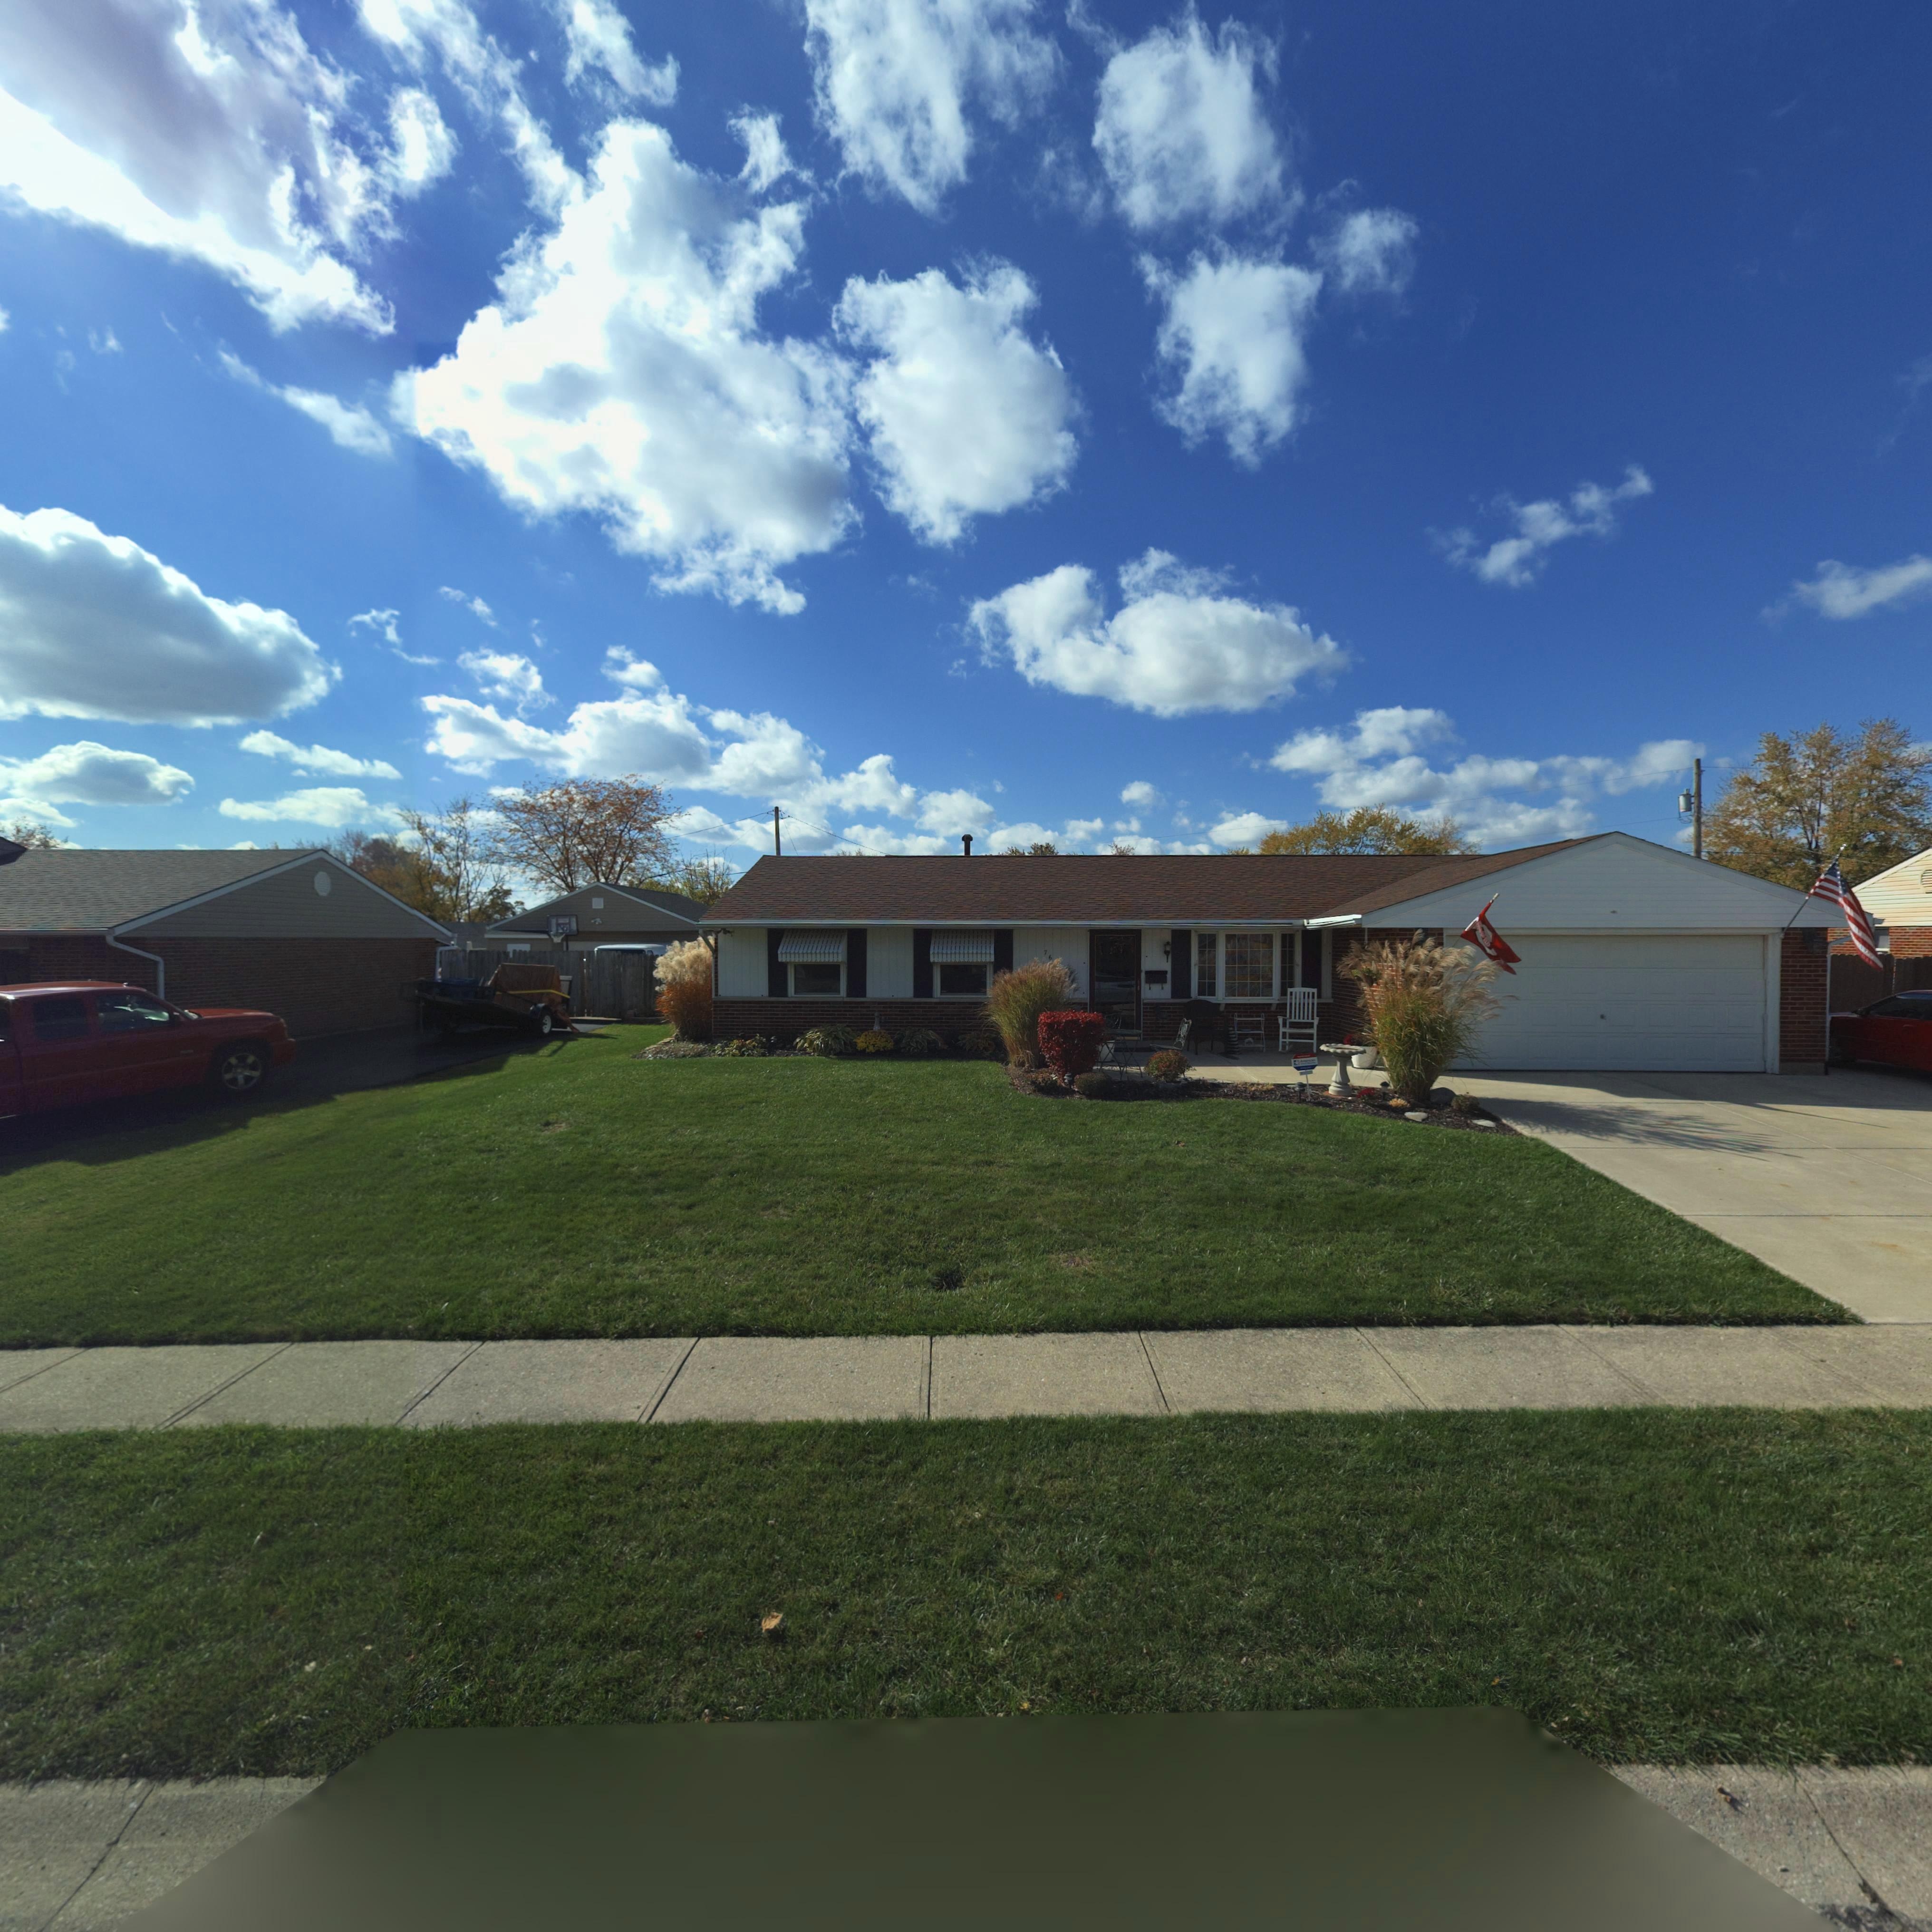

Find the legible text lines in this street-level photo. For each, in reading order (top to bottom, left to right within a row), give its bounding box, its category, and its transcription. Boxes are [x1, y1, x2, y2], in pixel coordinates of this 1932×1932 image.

[1043, 949, 1053, 961] StreetNumber: 76